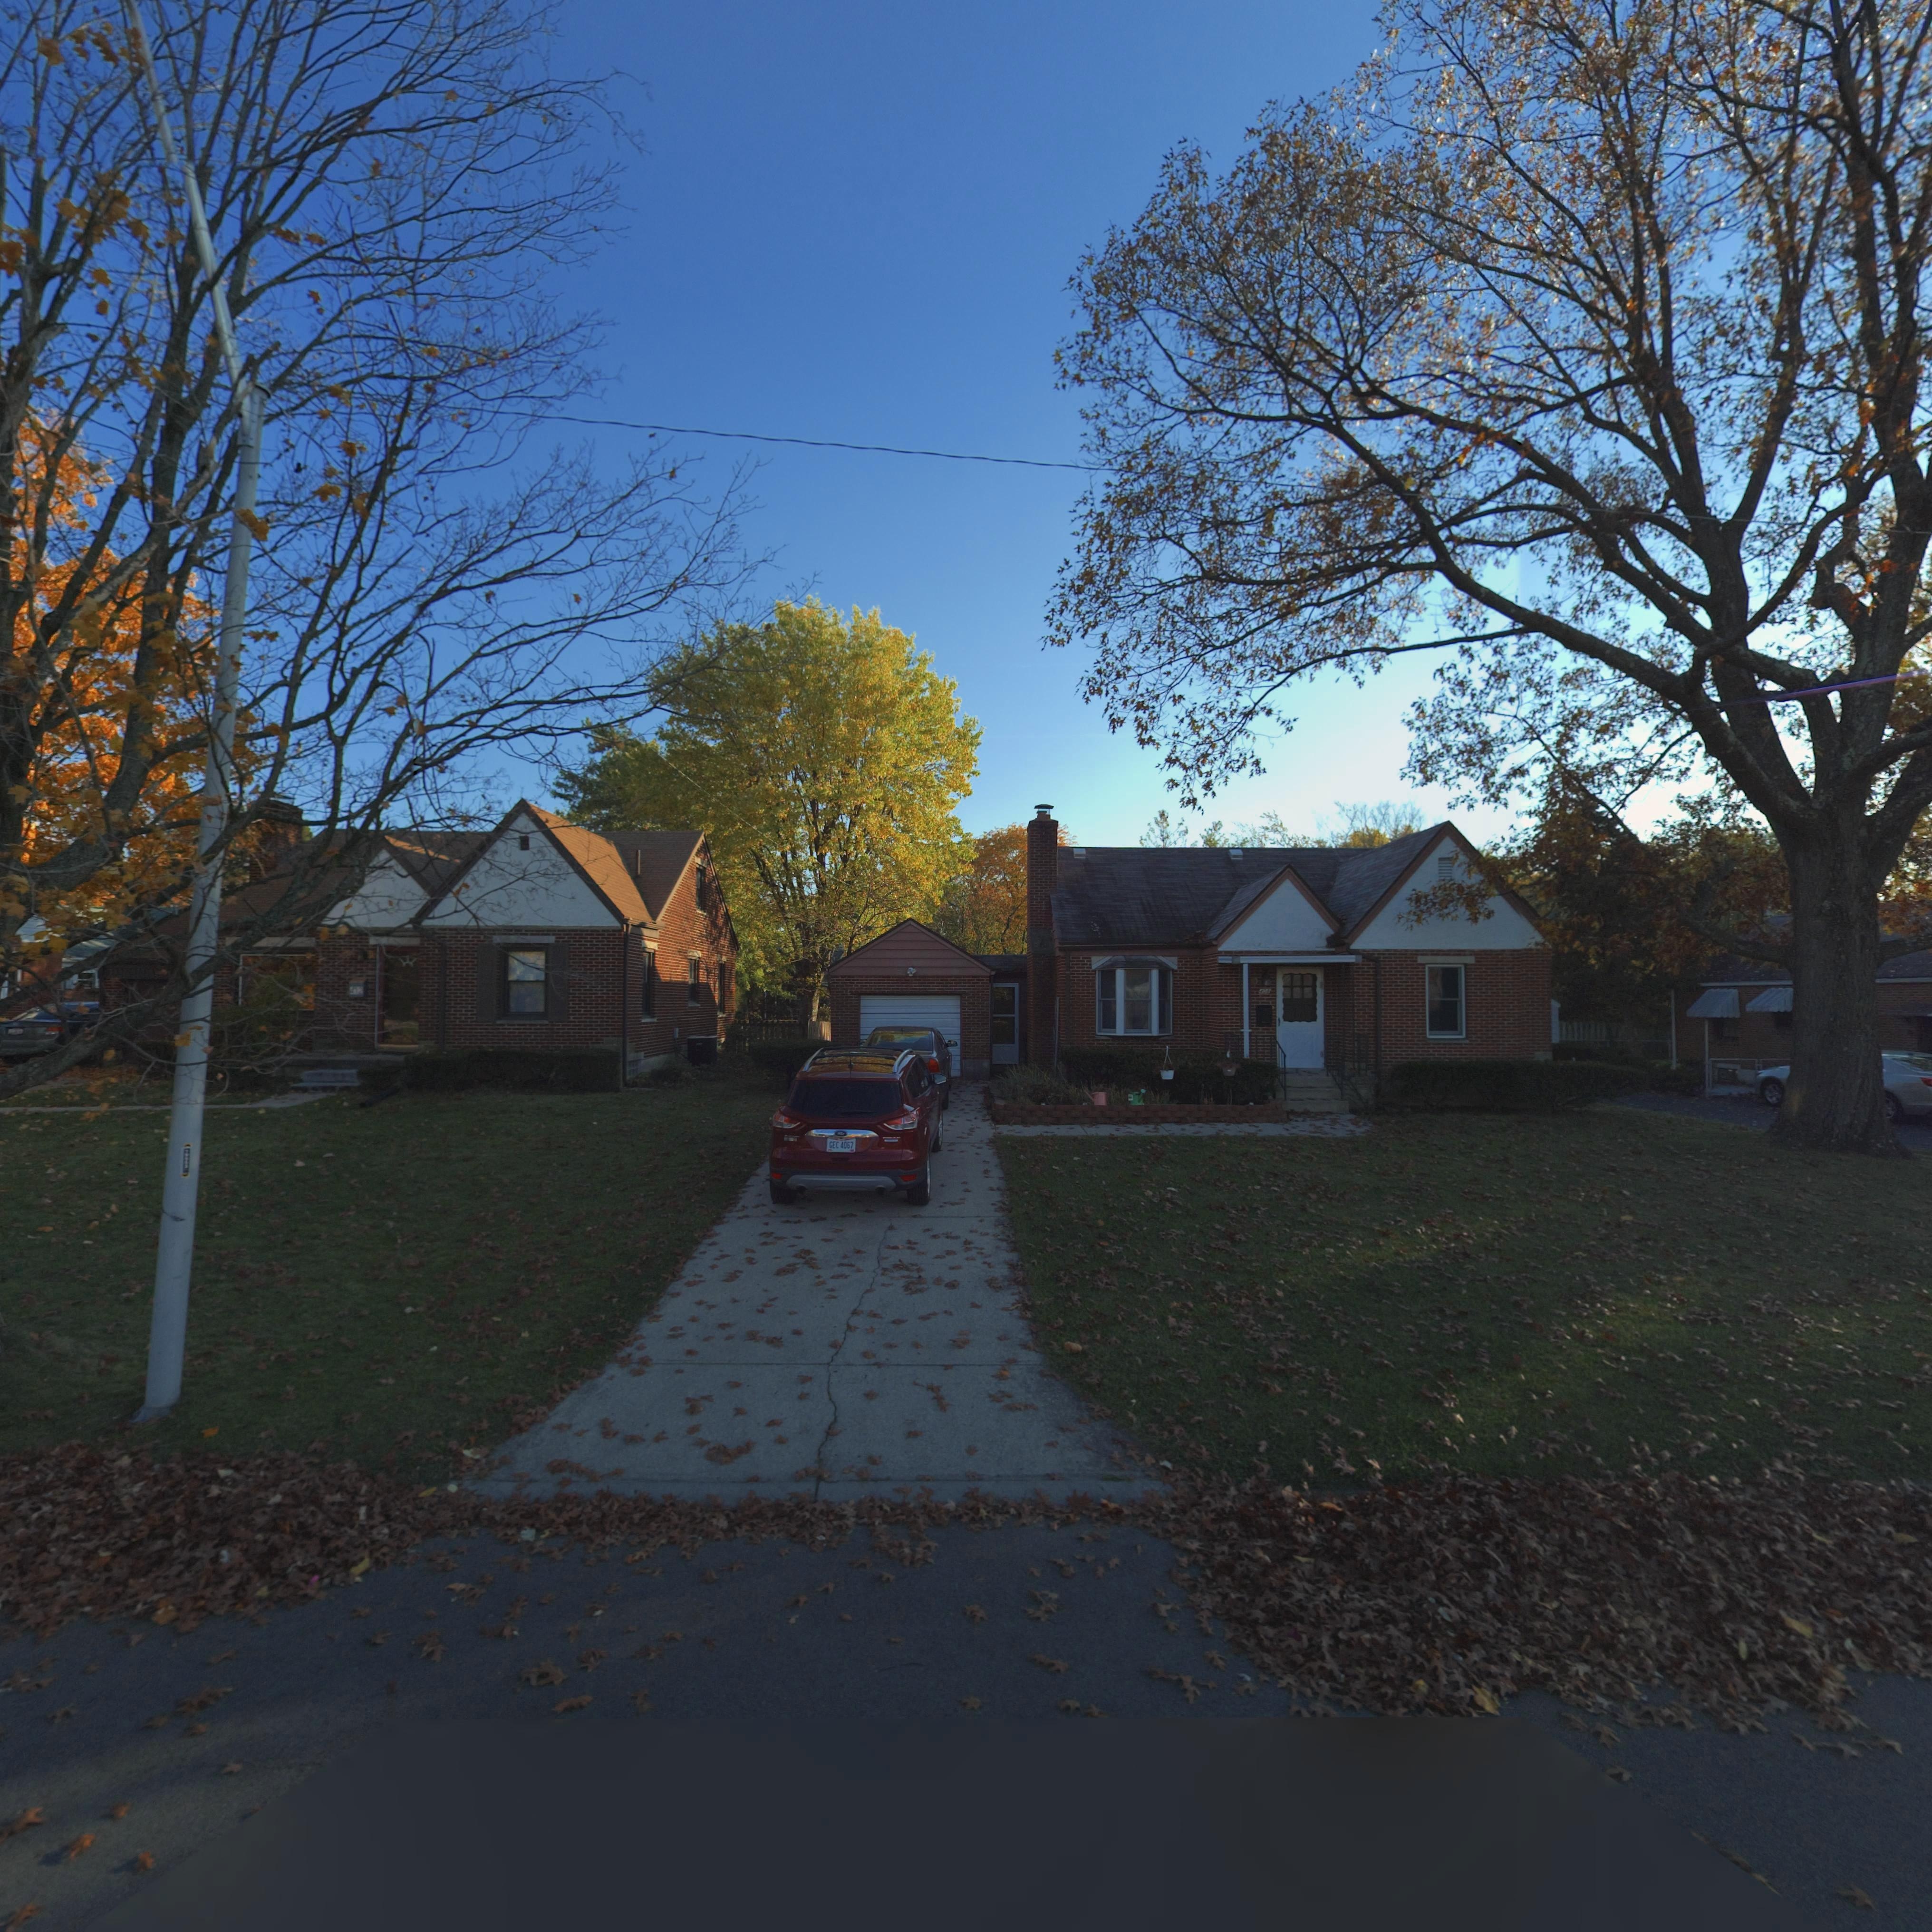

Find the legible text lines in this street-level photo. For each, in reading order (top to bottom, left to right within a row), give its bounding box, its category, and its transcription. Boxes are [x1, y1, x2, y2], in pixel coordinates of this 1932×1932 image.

[349, 986, 363, 994] StreetNumber: 412